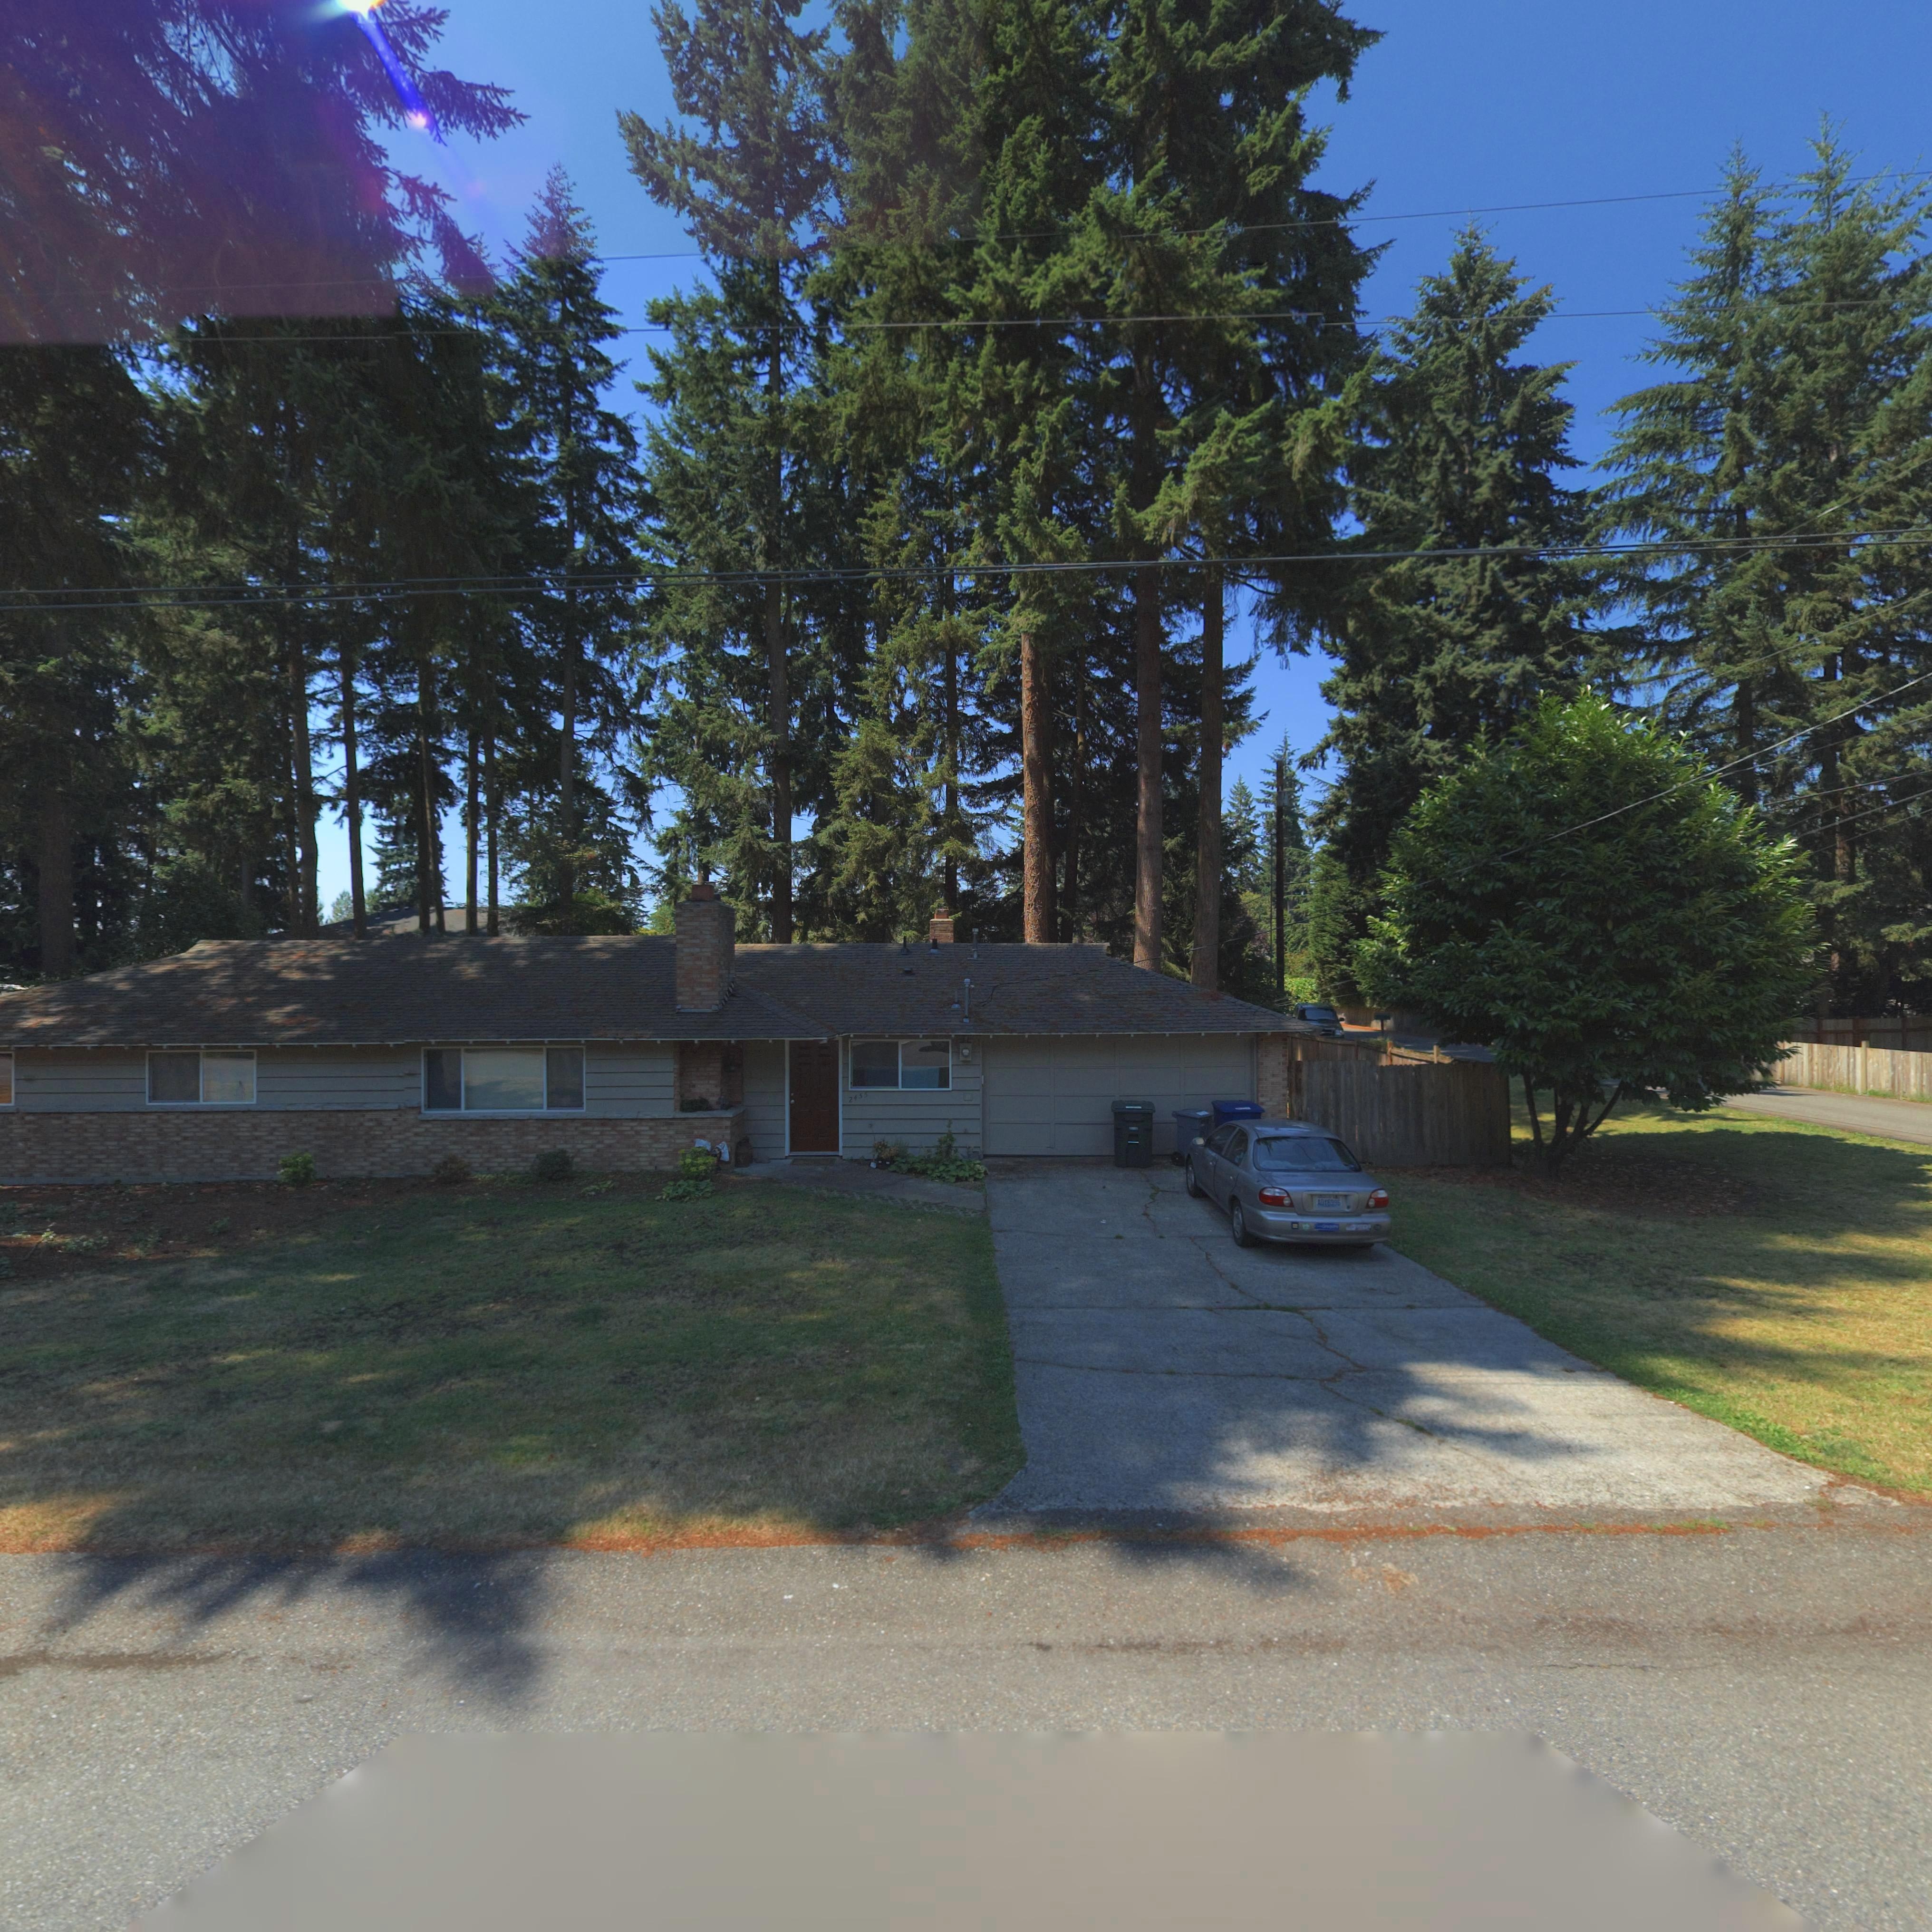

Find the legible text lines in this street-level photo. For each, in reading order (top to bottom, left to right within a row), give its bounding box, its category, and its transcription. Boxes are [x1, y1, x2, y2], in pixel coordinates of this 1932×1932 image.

[848, 1091, 869, 1103] StreetNumber: 2455